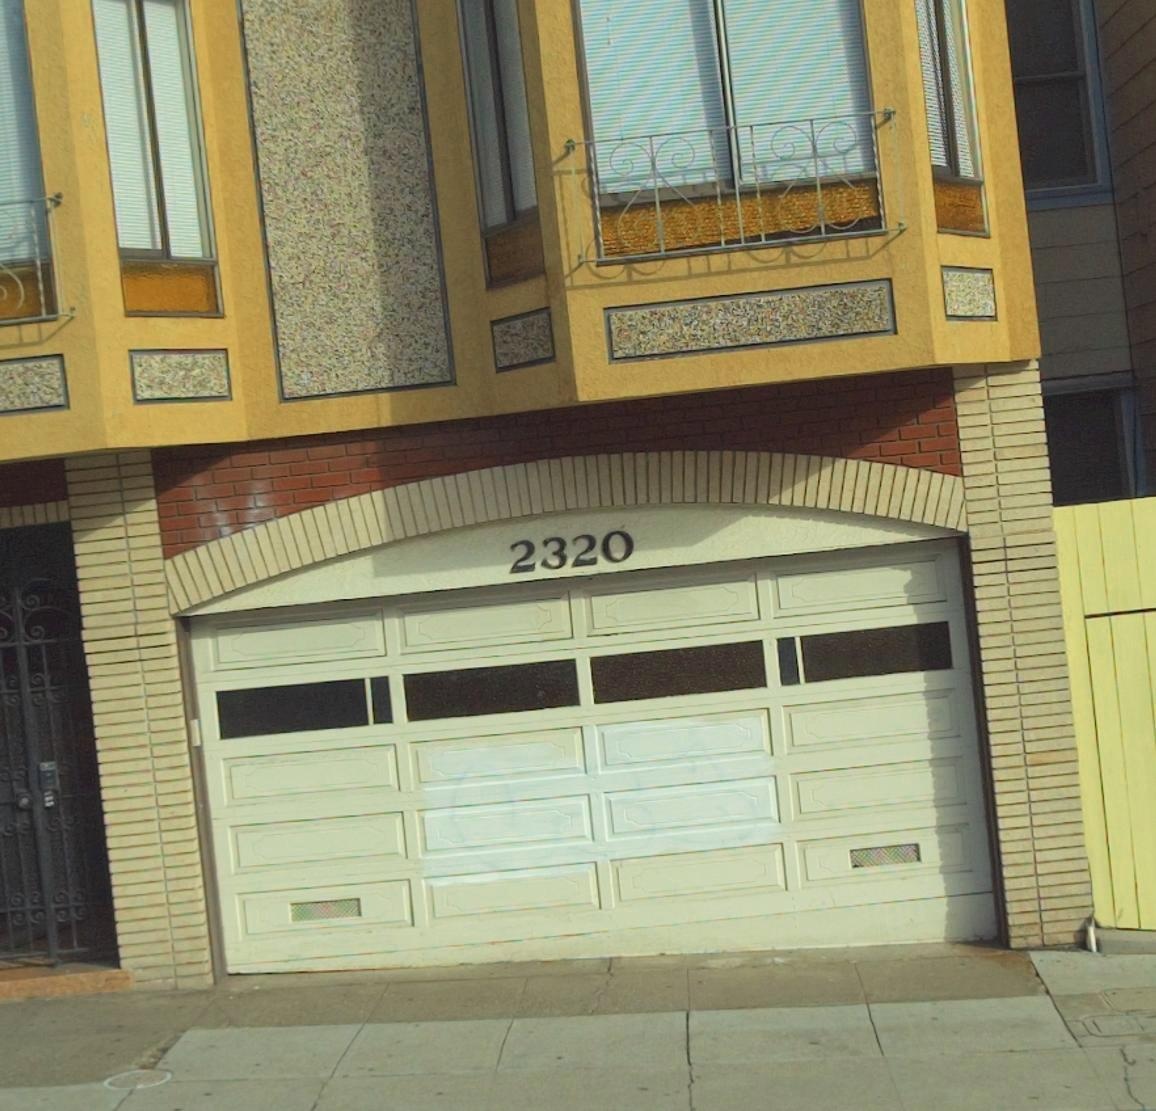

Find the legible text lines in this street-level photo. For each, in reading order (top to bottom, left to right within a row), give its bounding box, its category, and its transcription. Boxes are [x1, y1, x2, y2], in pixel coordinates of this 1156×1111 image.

[507, 526, 639, 579] StreetNumber: 2320